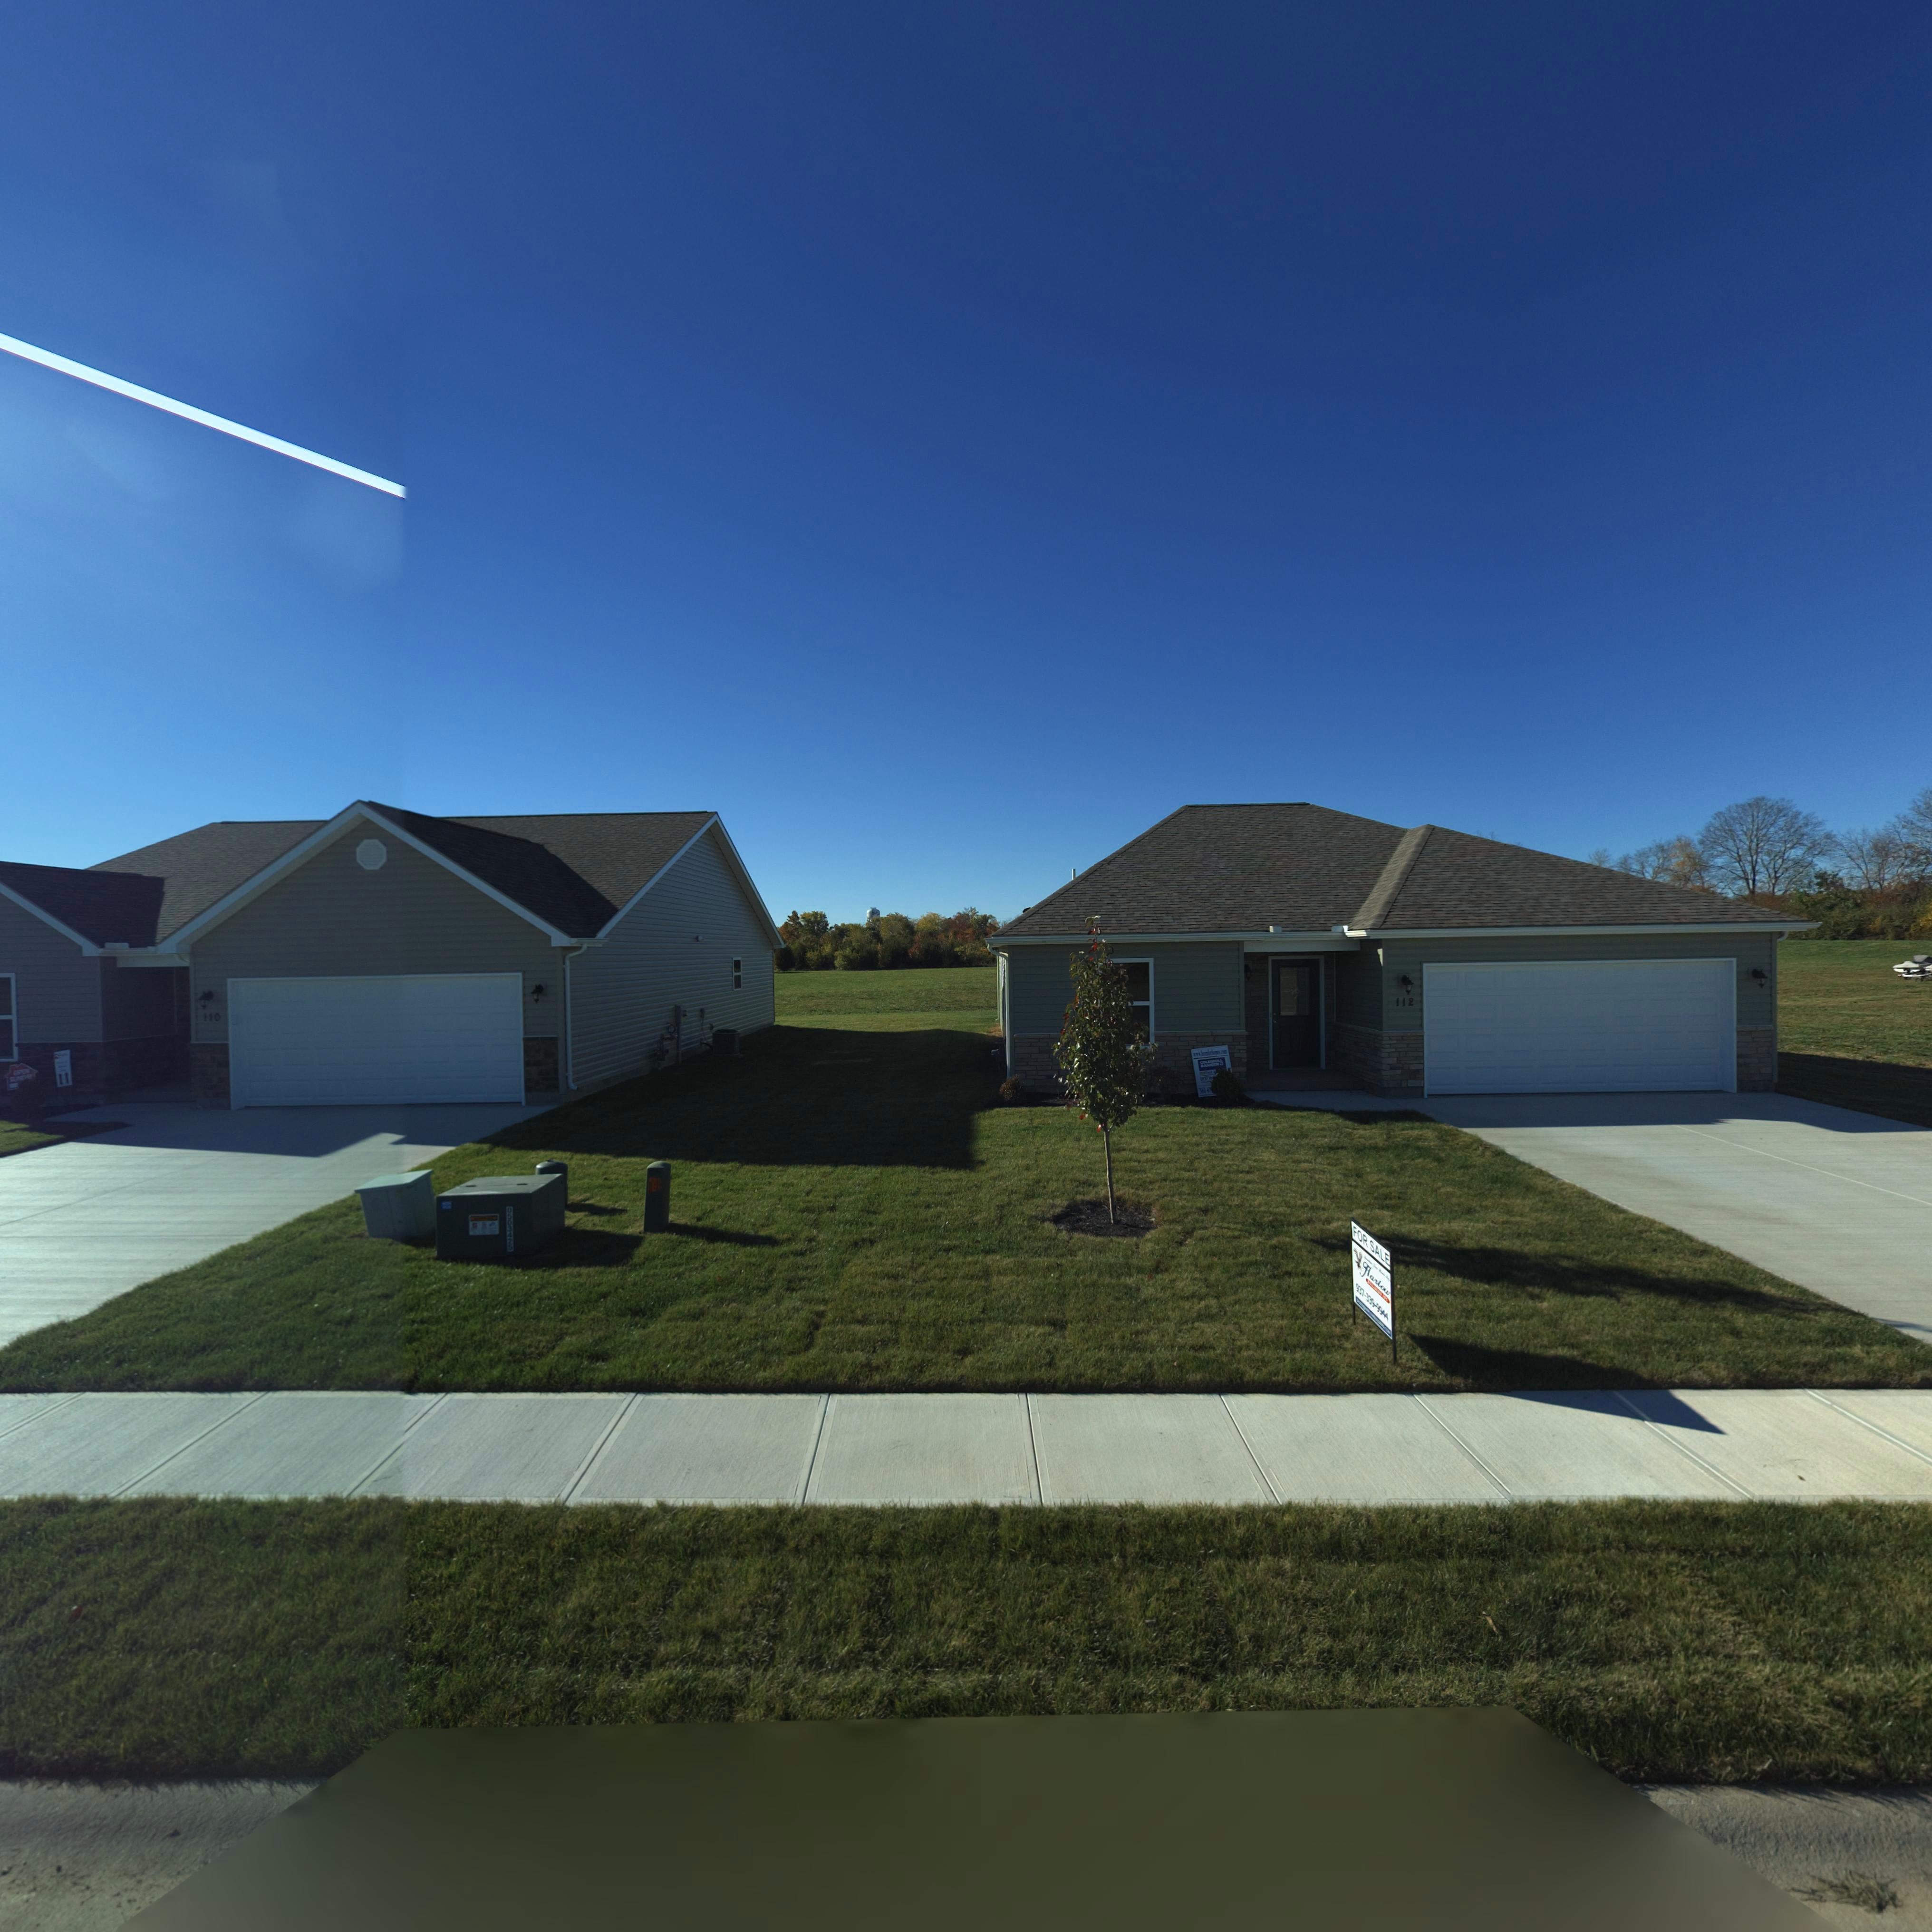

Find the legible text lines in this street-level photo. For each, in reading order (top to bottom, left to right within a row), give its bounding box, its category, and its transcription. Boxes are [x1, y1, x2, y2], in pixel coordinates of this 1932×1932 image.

[1396, 997, 1414, 1006] StreetNumber: 112
[203, 1012, 221, 1022] StreetNumber: 110